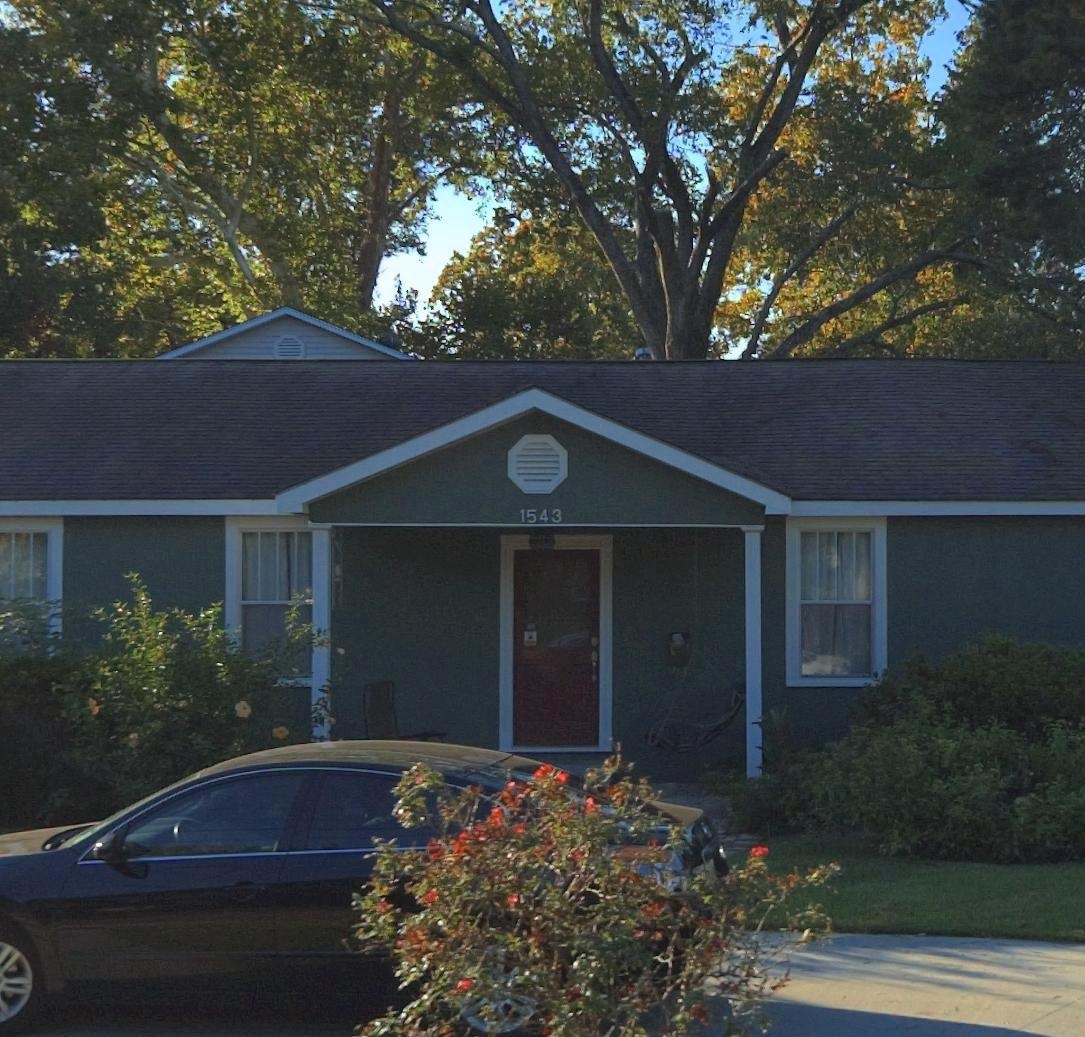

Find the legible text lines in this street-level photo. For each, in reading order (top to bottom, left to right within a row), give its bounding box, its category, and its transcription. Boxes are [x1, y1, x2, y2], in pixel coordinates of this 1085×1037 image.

[518, 507, 564, 525] StreetNumber: 1543